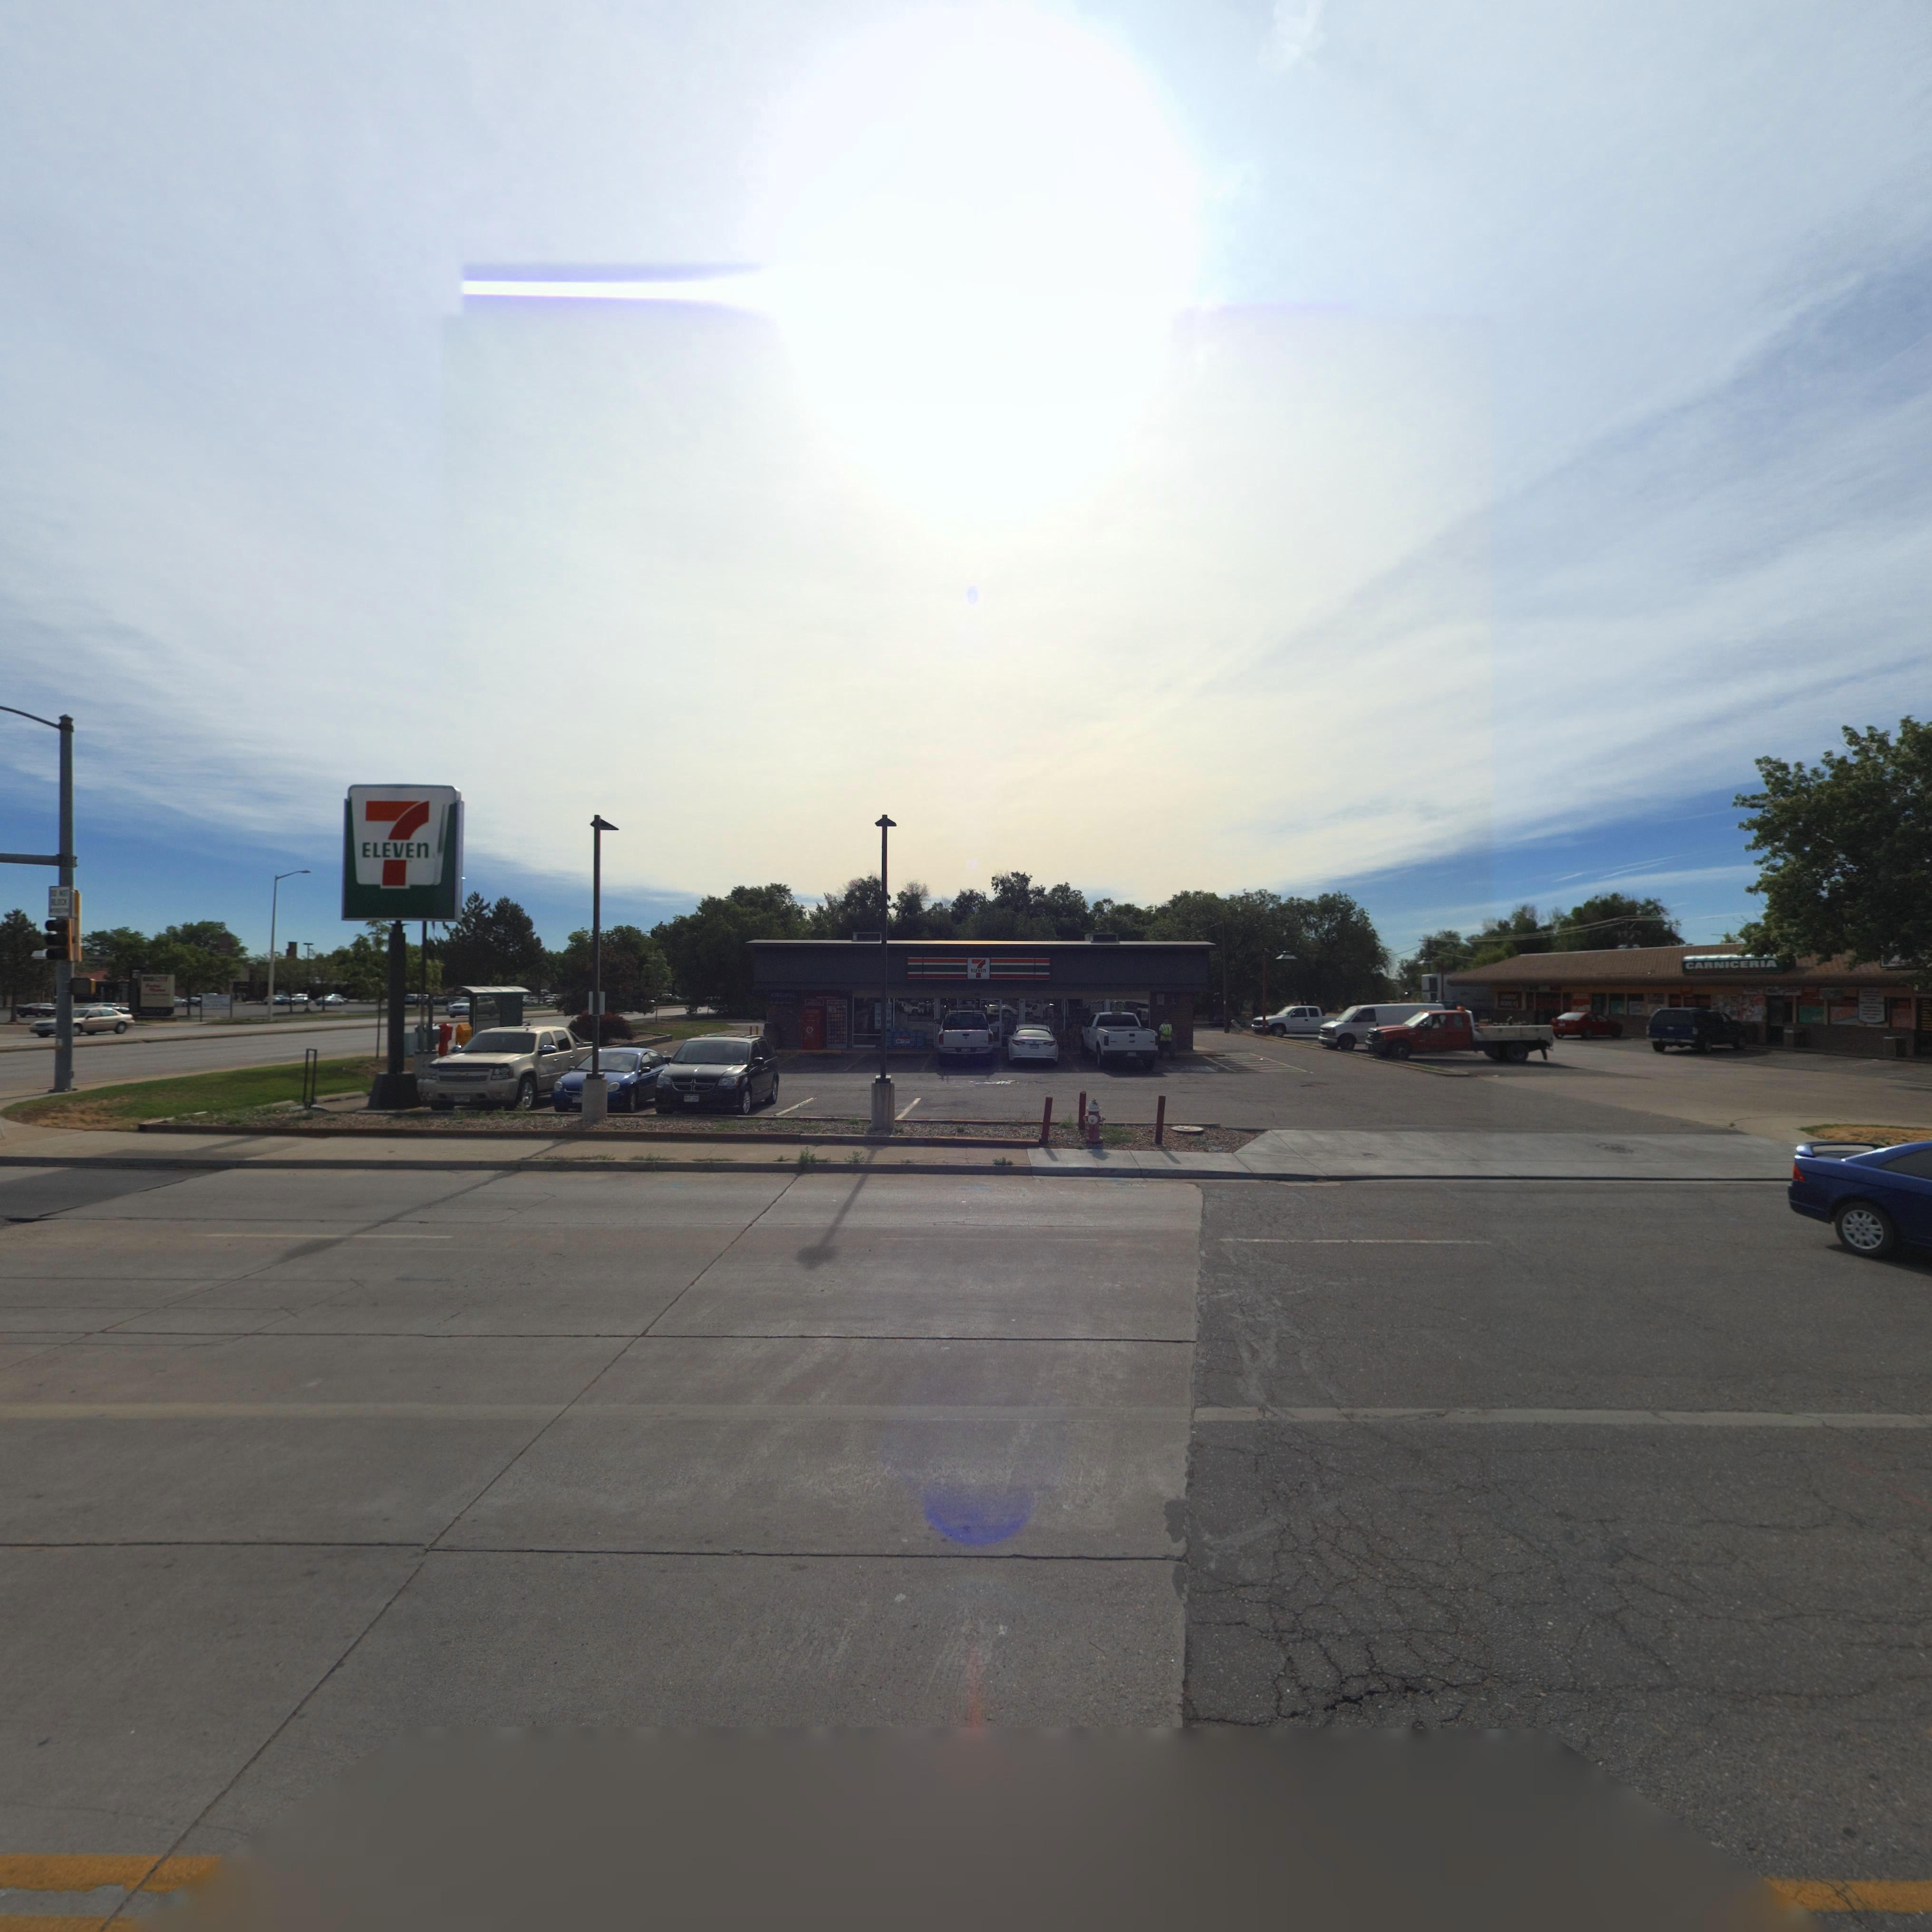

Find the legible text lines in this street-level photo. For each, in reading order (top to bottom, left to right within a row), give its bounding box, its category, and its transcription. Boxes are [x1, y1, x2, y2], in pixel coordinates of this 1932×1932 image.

[361, 841, 430, 858] BusinessName: ELEVEN
[364, 799, 430, 887] BusinessName: 7
[141, 975, 169, 982] BusinessName: BIG****
[970, 968, 986, 973] BusinessName: ELEVEN
[971, 958, 986, 978] BusinessName: 7